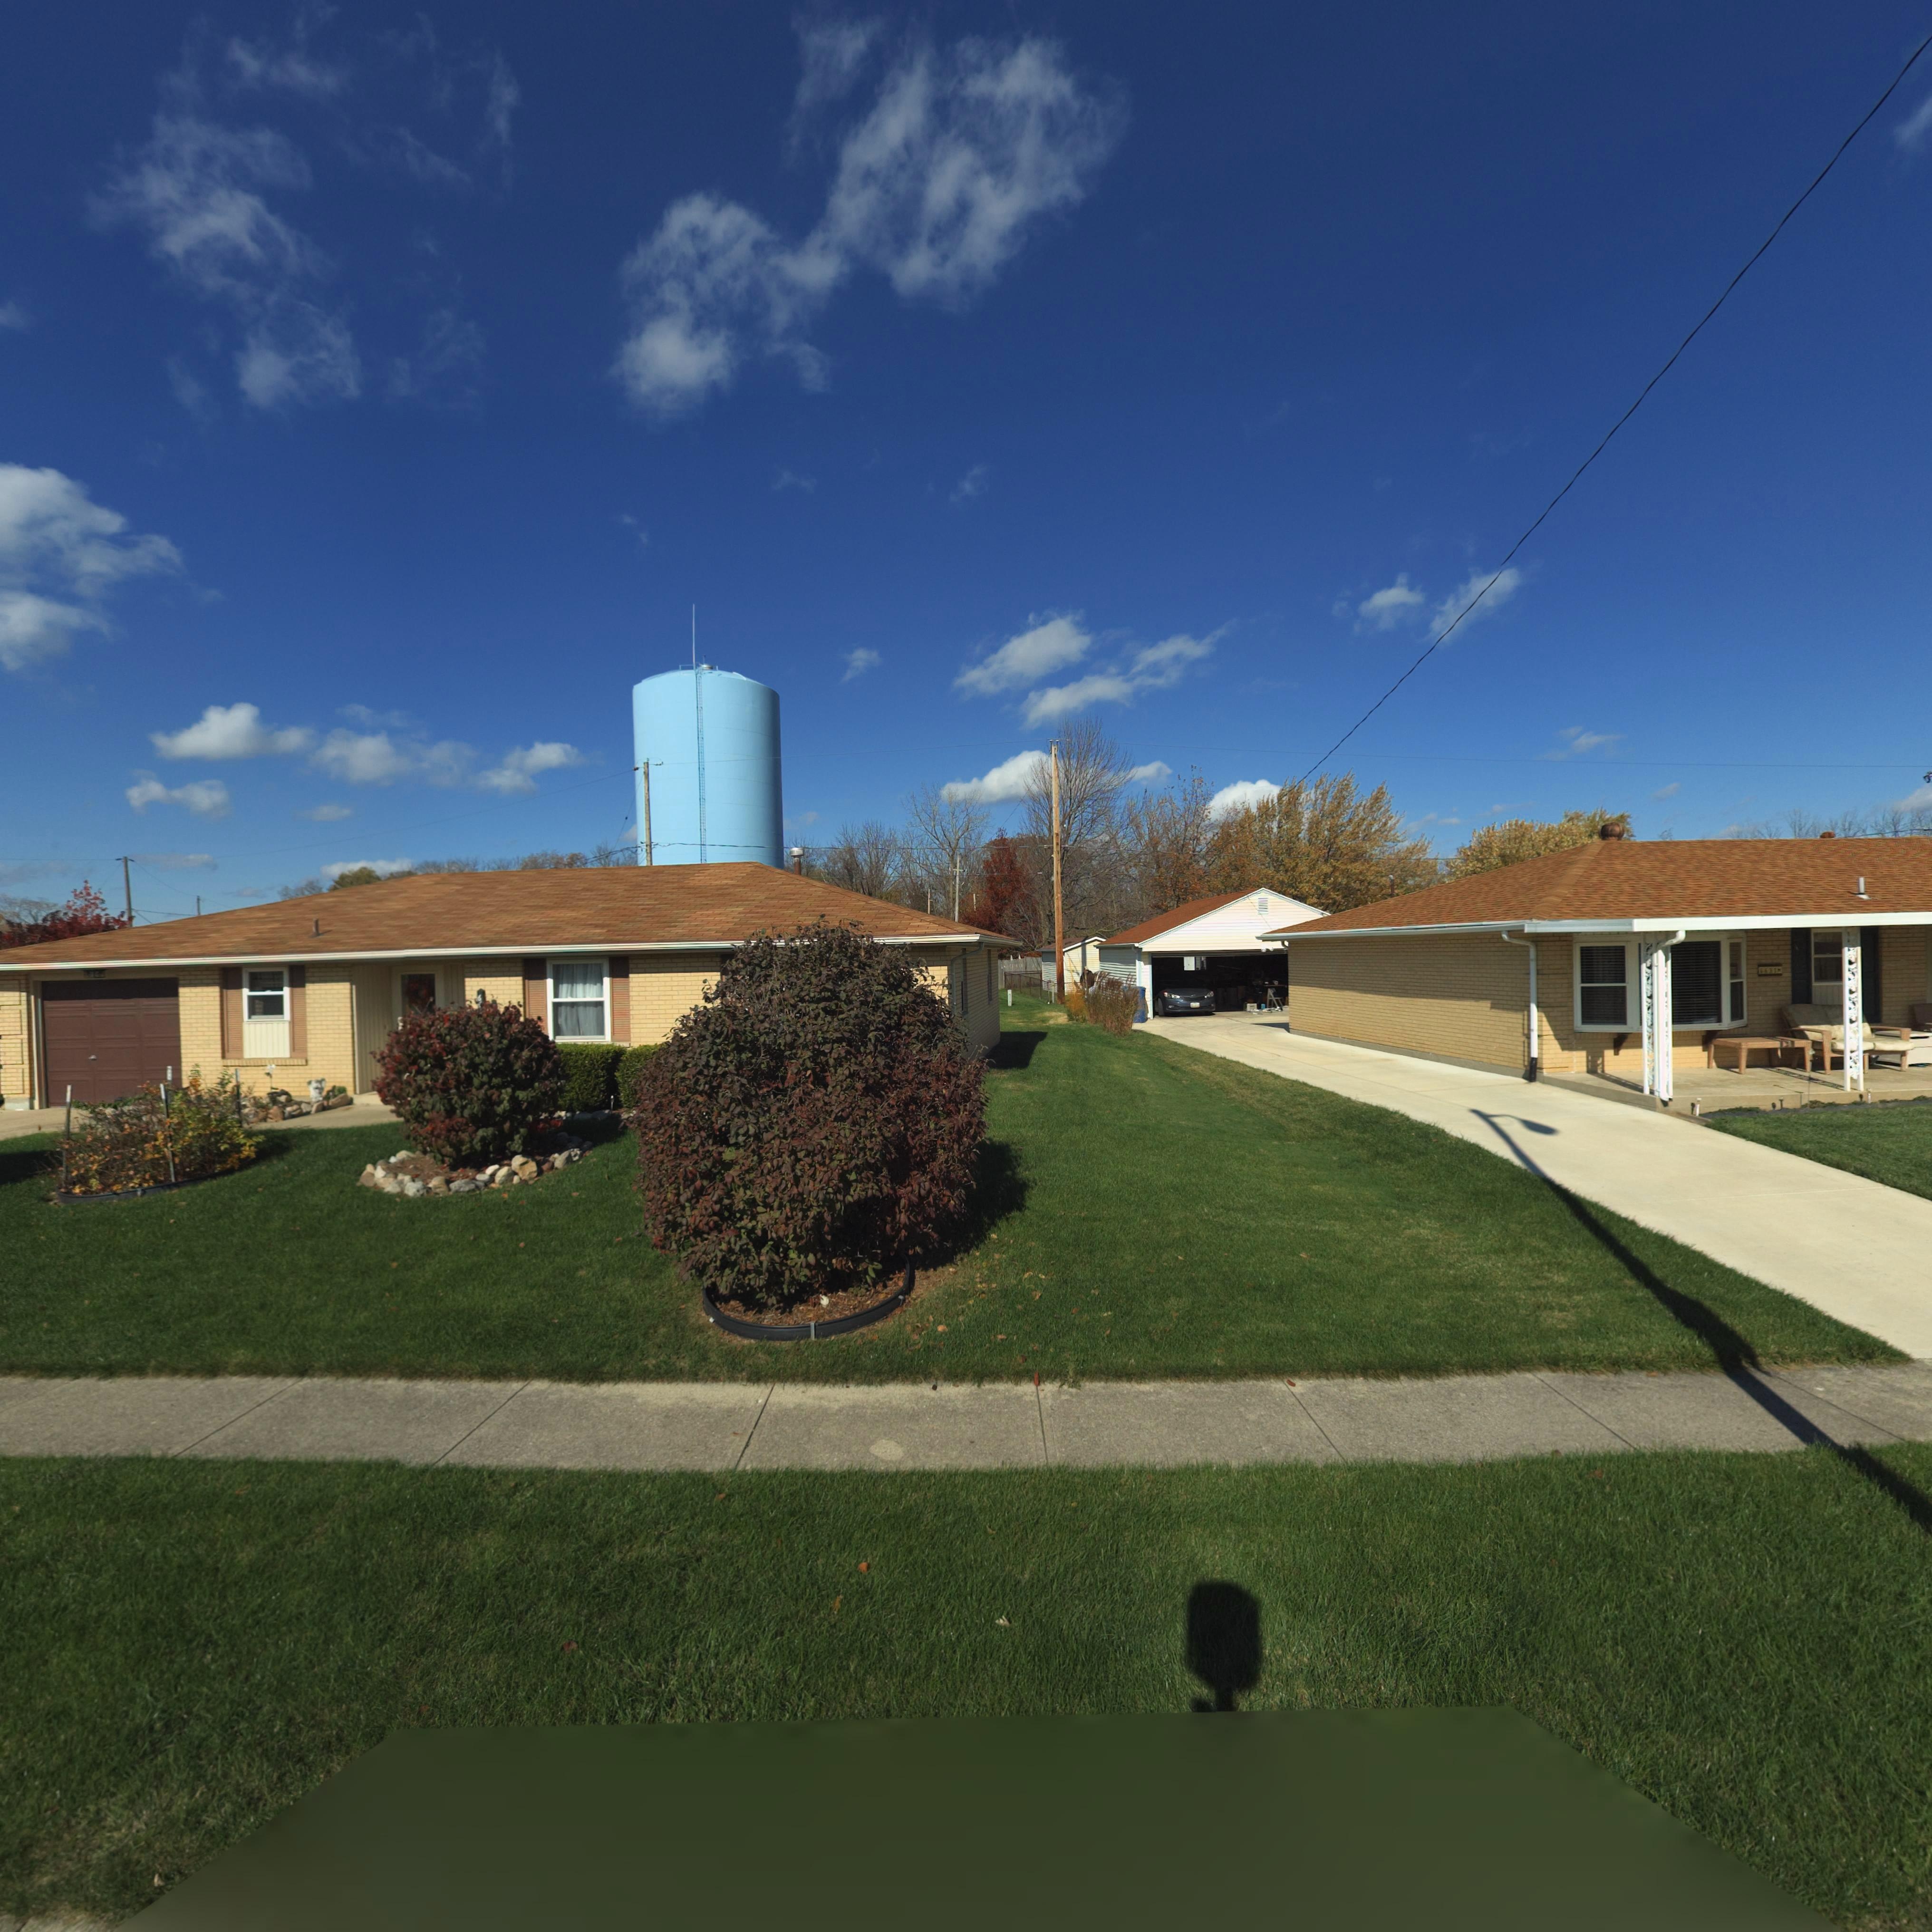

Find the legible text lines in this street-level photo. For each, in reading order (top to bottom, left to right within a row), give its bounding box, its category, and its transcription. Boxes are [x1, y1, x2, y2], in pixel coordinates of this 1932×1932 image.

[1759, 967, 1777, 974] StreetNumber: 6631